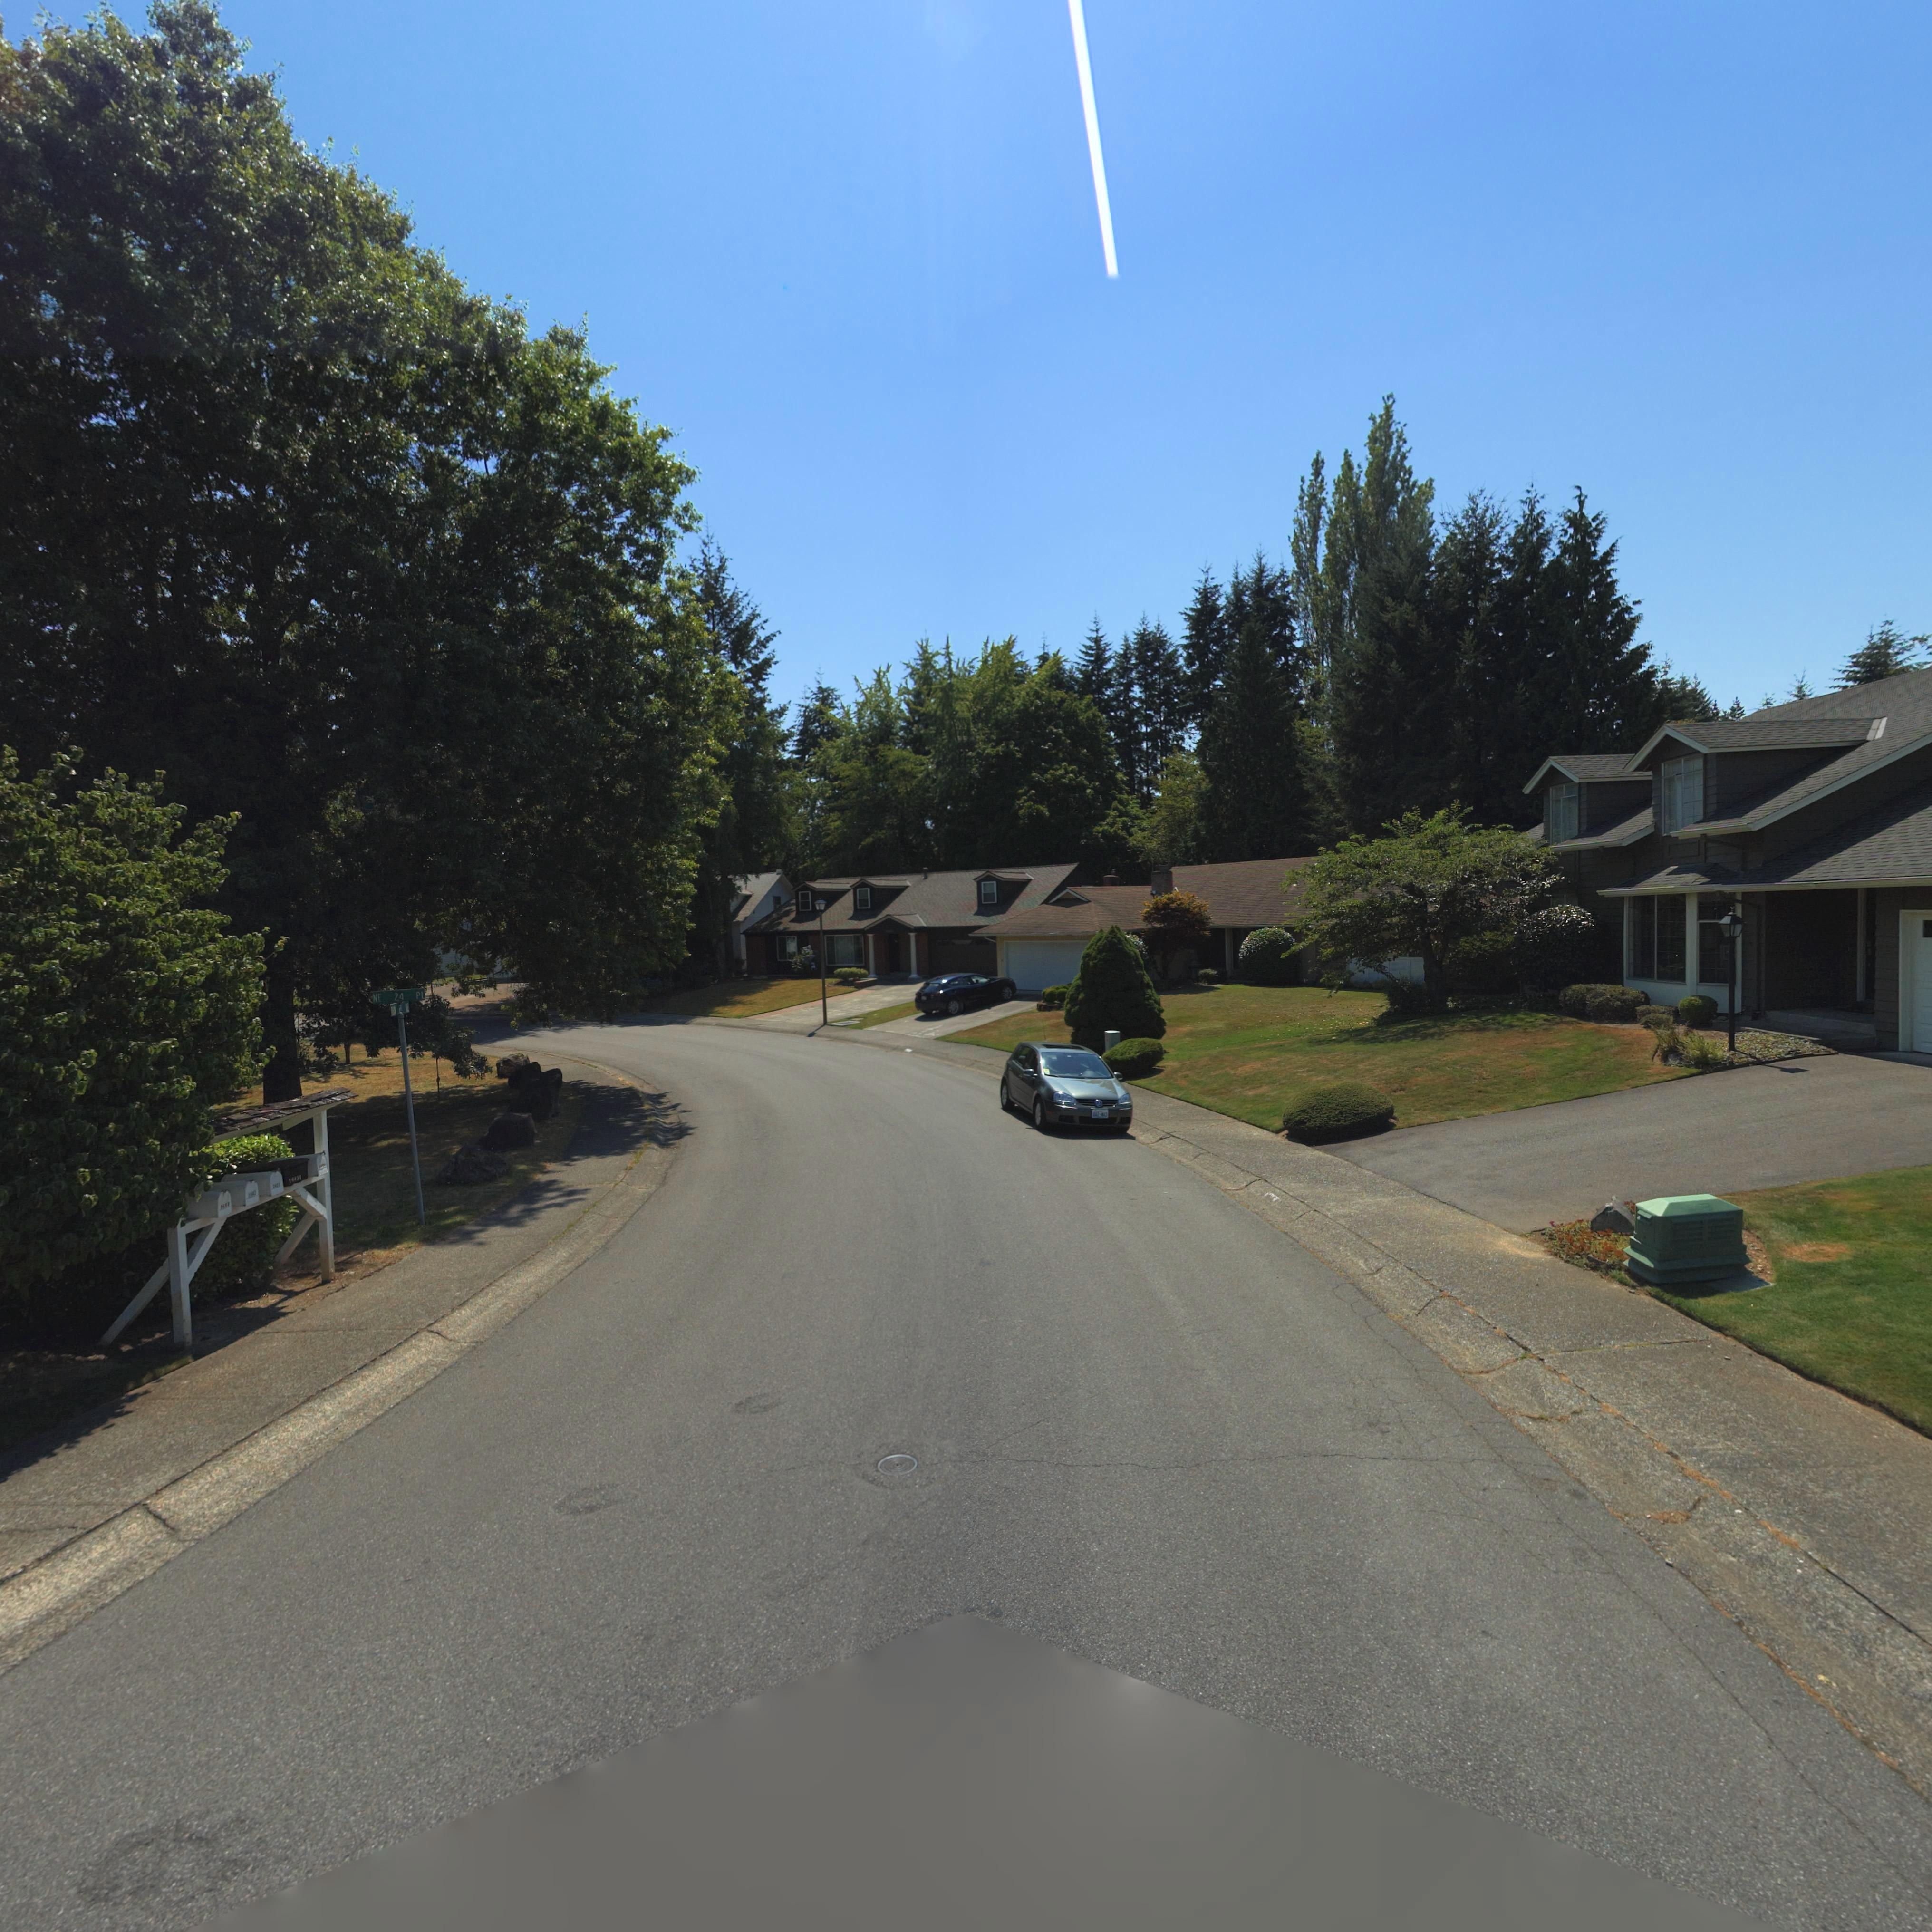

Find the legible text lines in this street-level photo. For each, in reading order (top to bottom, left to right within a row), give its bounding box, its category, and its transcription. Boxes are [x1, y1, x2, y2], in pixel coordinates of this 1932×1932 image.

[373, 991, 425, 1002] StreetName: NE 24 PL